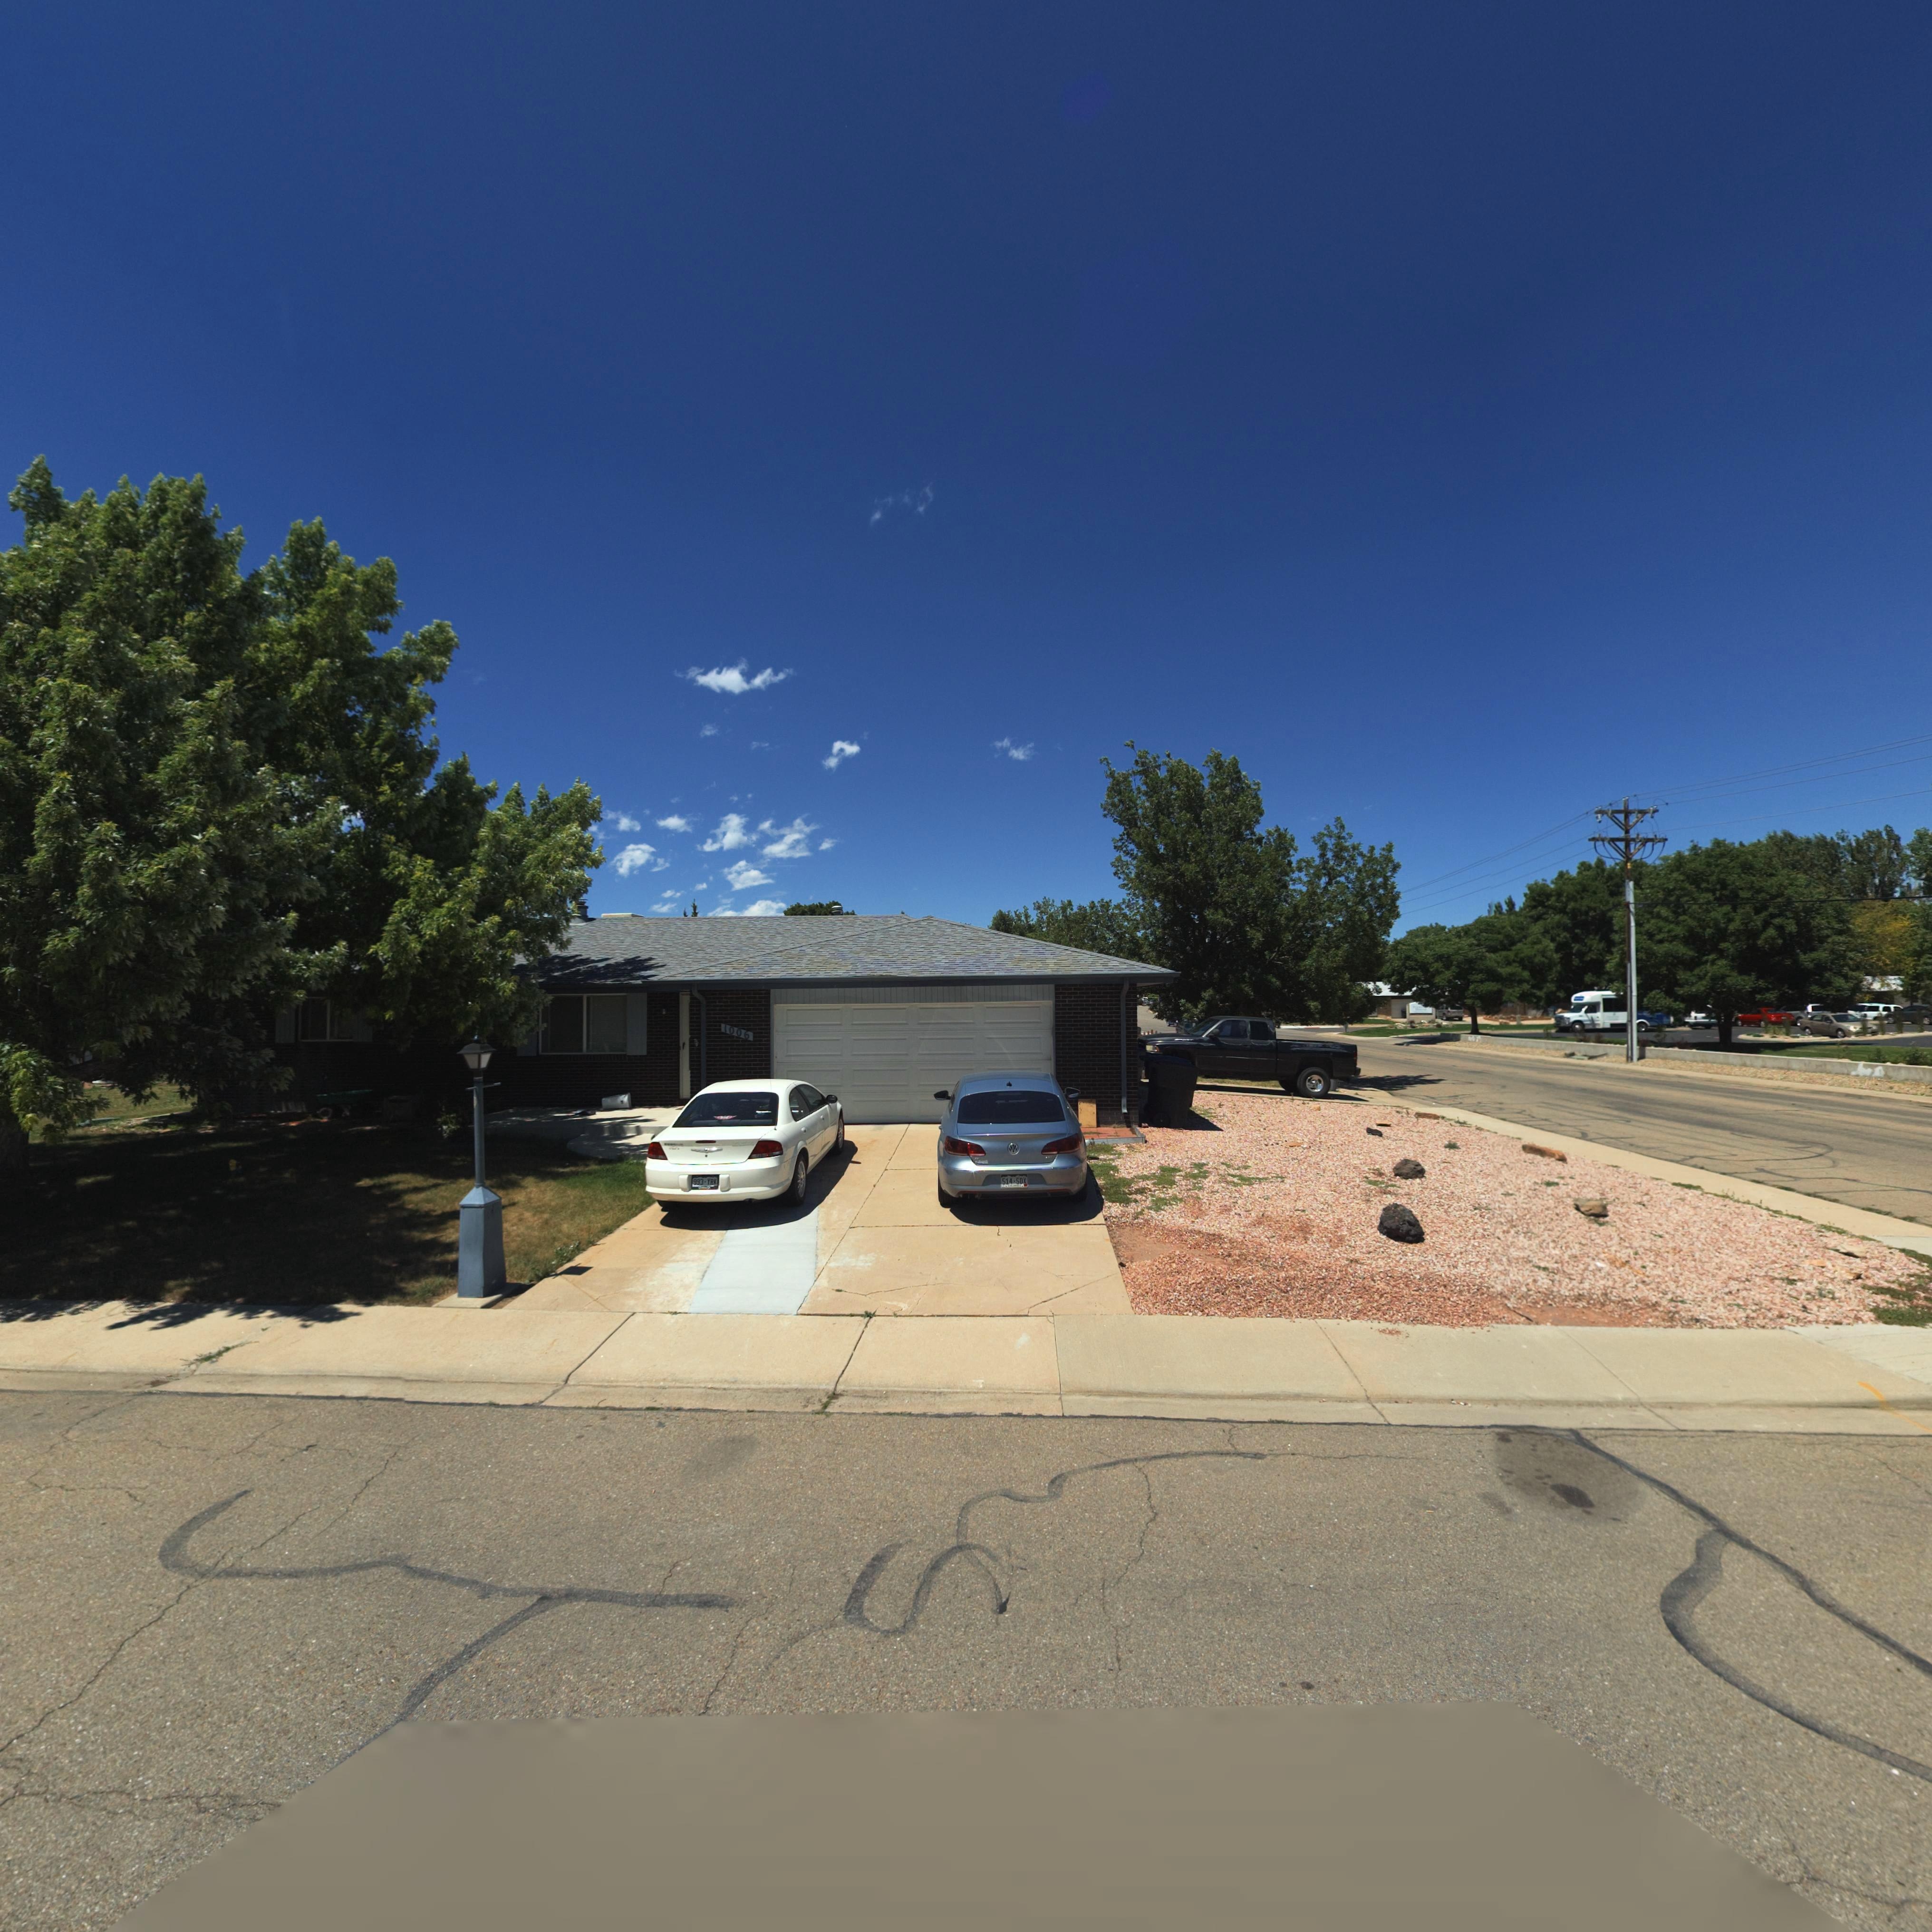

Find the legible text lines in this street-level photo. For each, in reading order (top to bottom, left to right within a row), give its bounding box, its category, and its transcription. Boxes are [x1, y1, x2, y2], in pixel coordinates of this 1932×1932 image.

[724, 1024, 750, 1040] StreetNumber: 1006